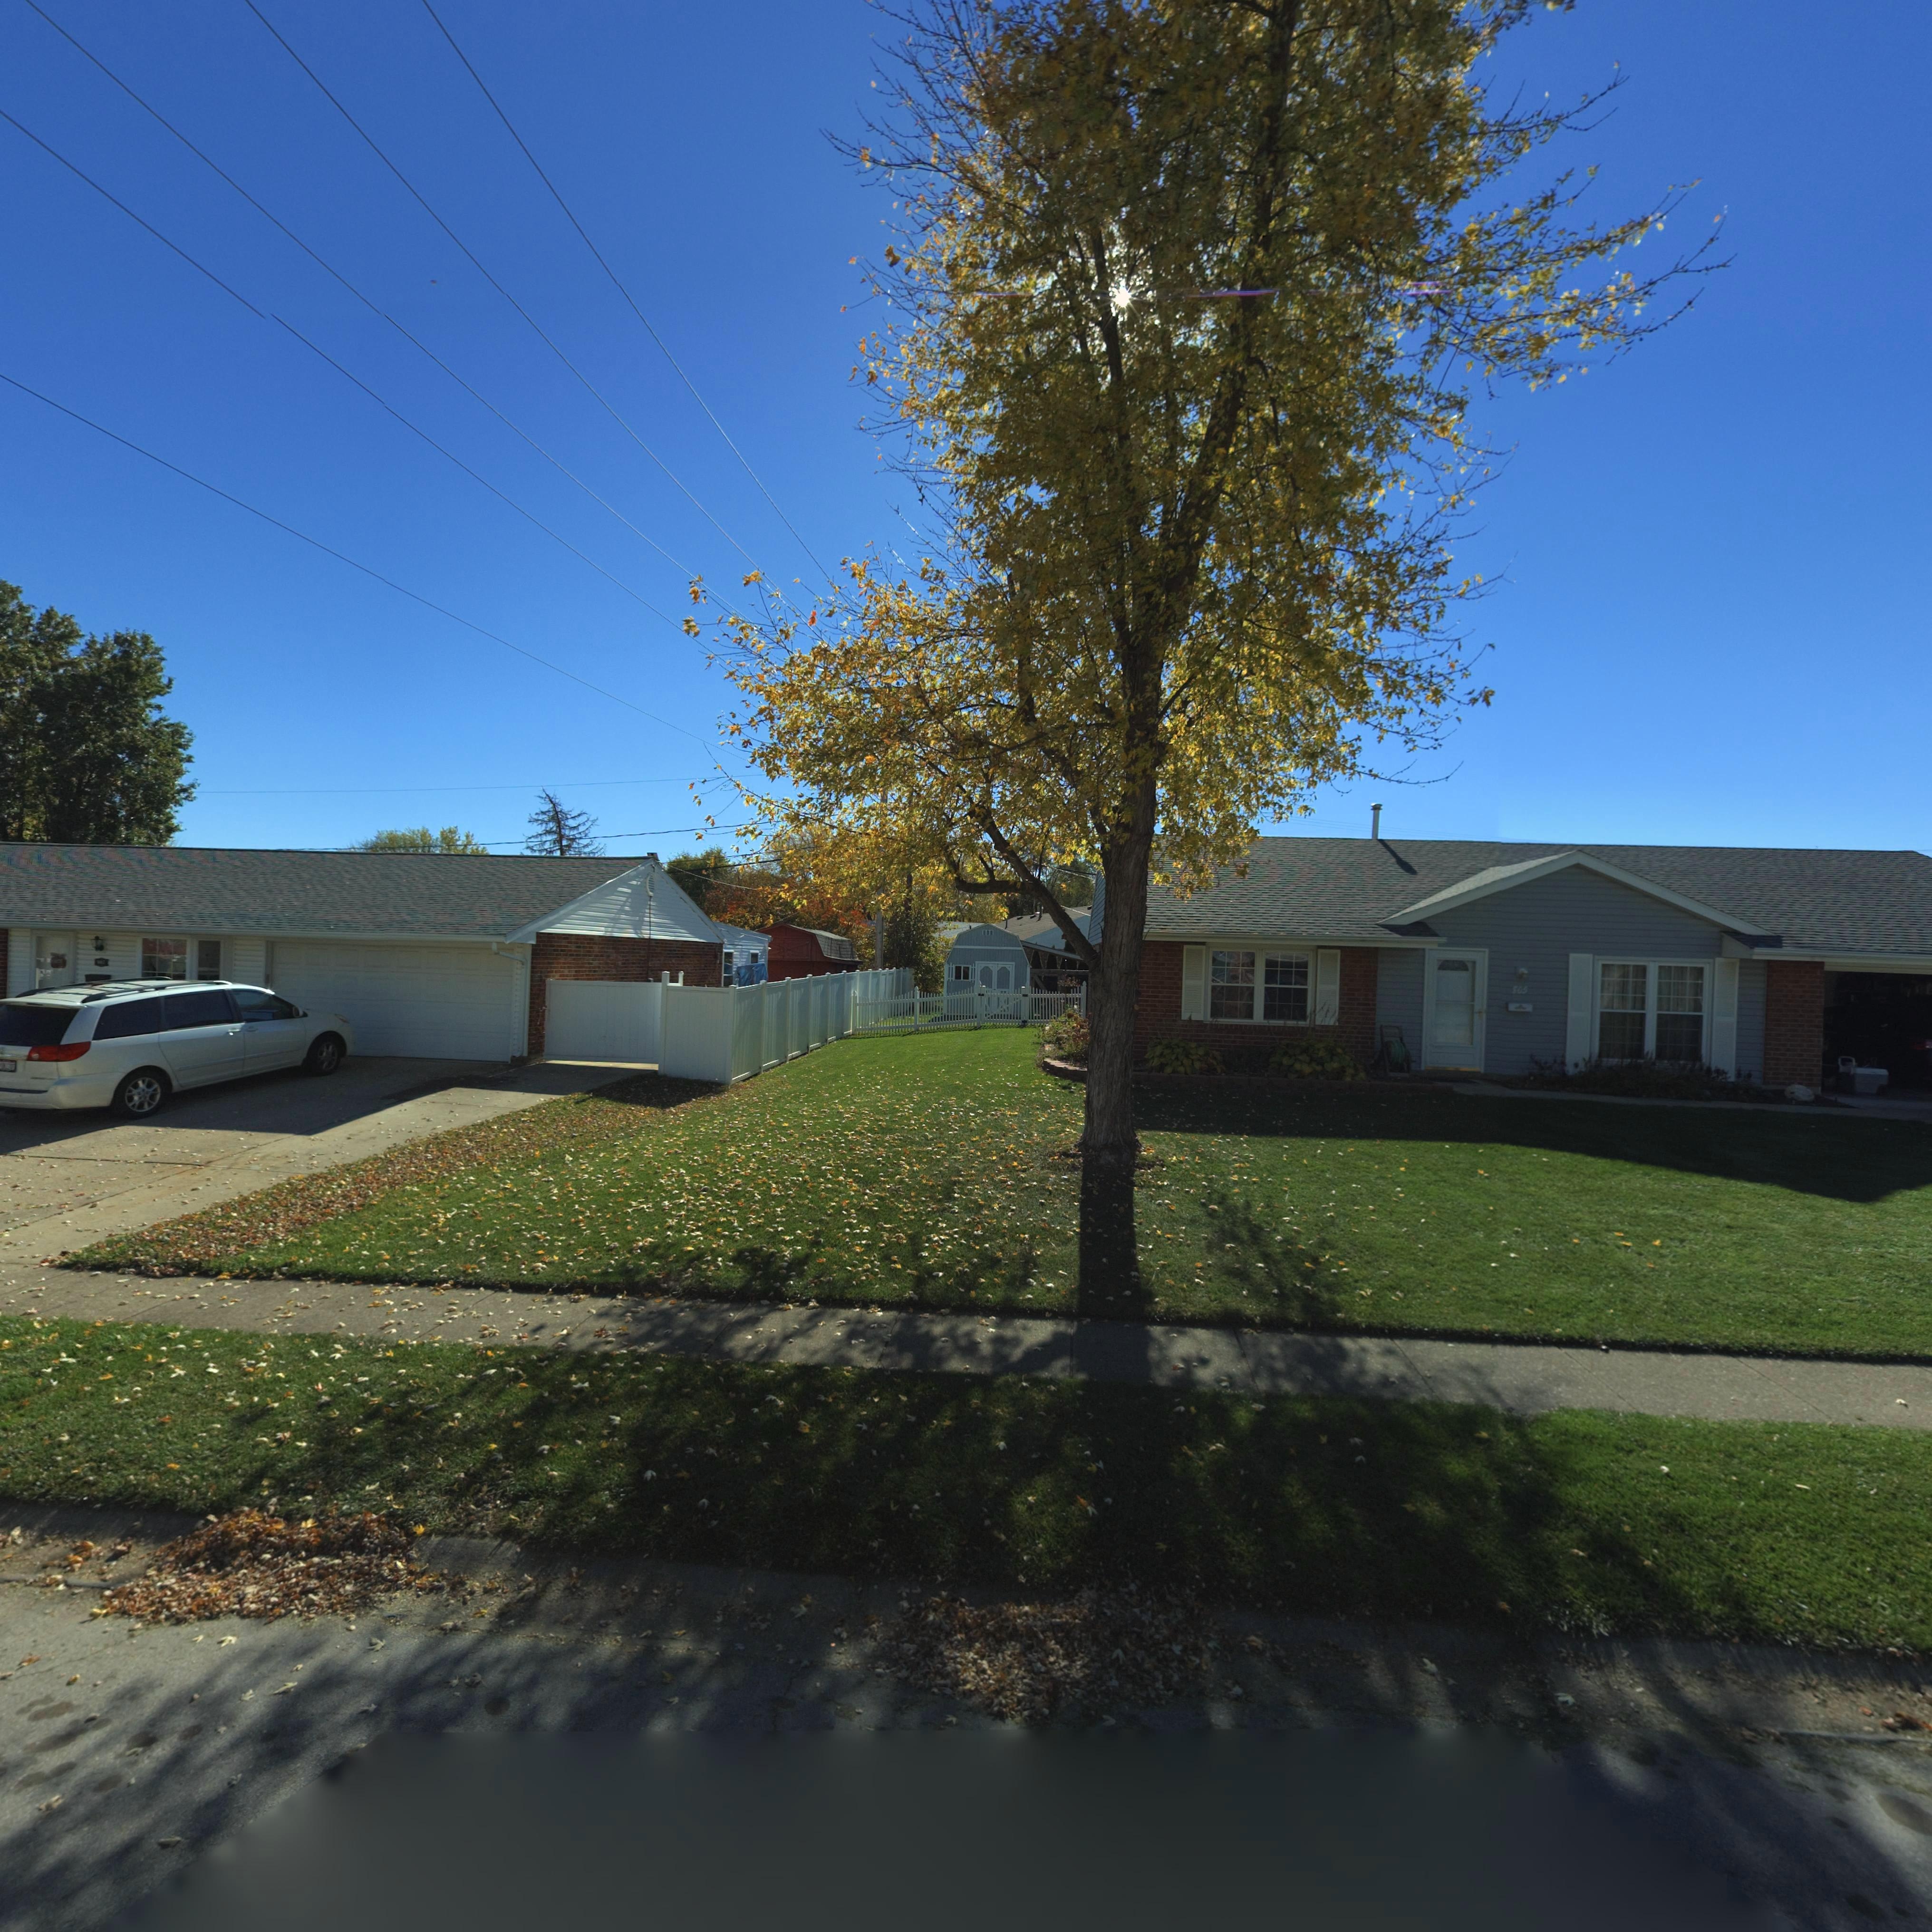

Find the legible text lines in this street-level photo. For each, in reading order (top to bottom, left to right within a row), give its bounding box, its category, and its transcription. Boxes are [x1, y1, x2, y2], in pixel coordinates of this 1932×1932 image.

[96, 960, 106, 965] StreetNumber: **7
[1511, 985, 1528, 995] StreetNumber: 805